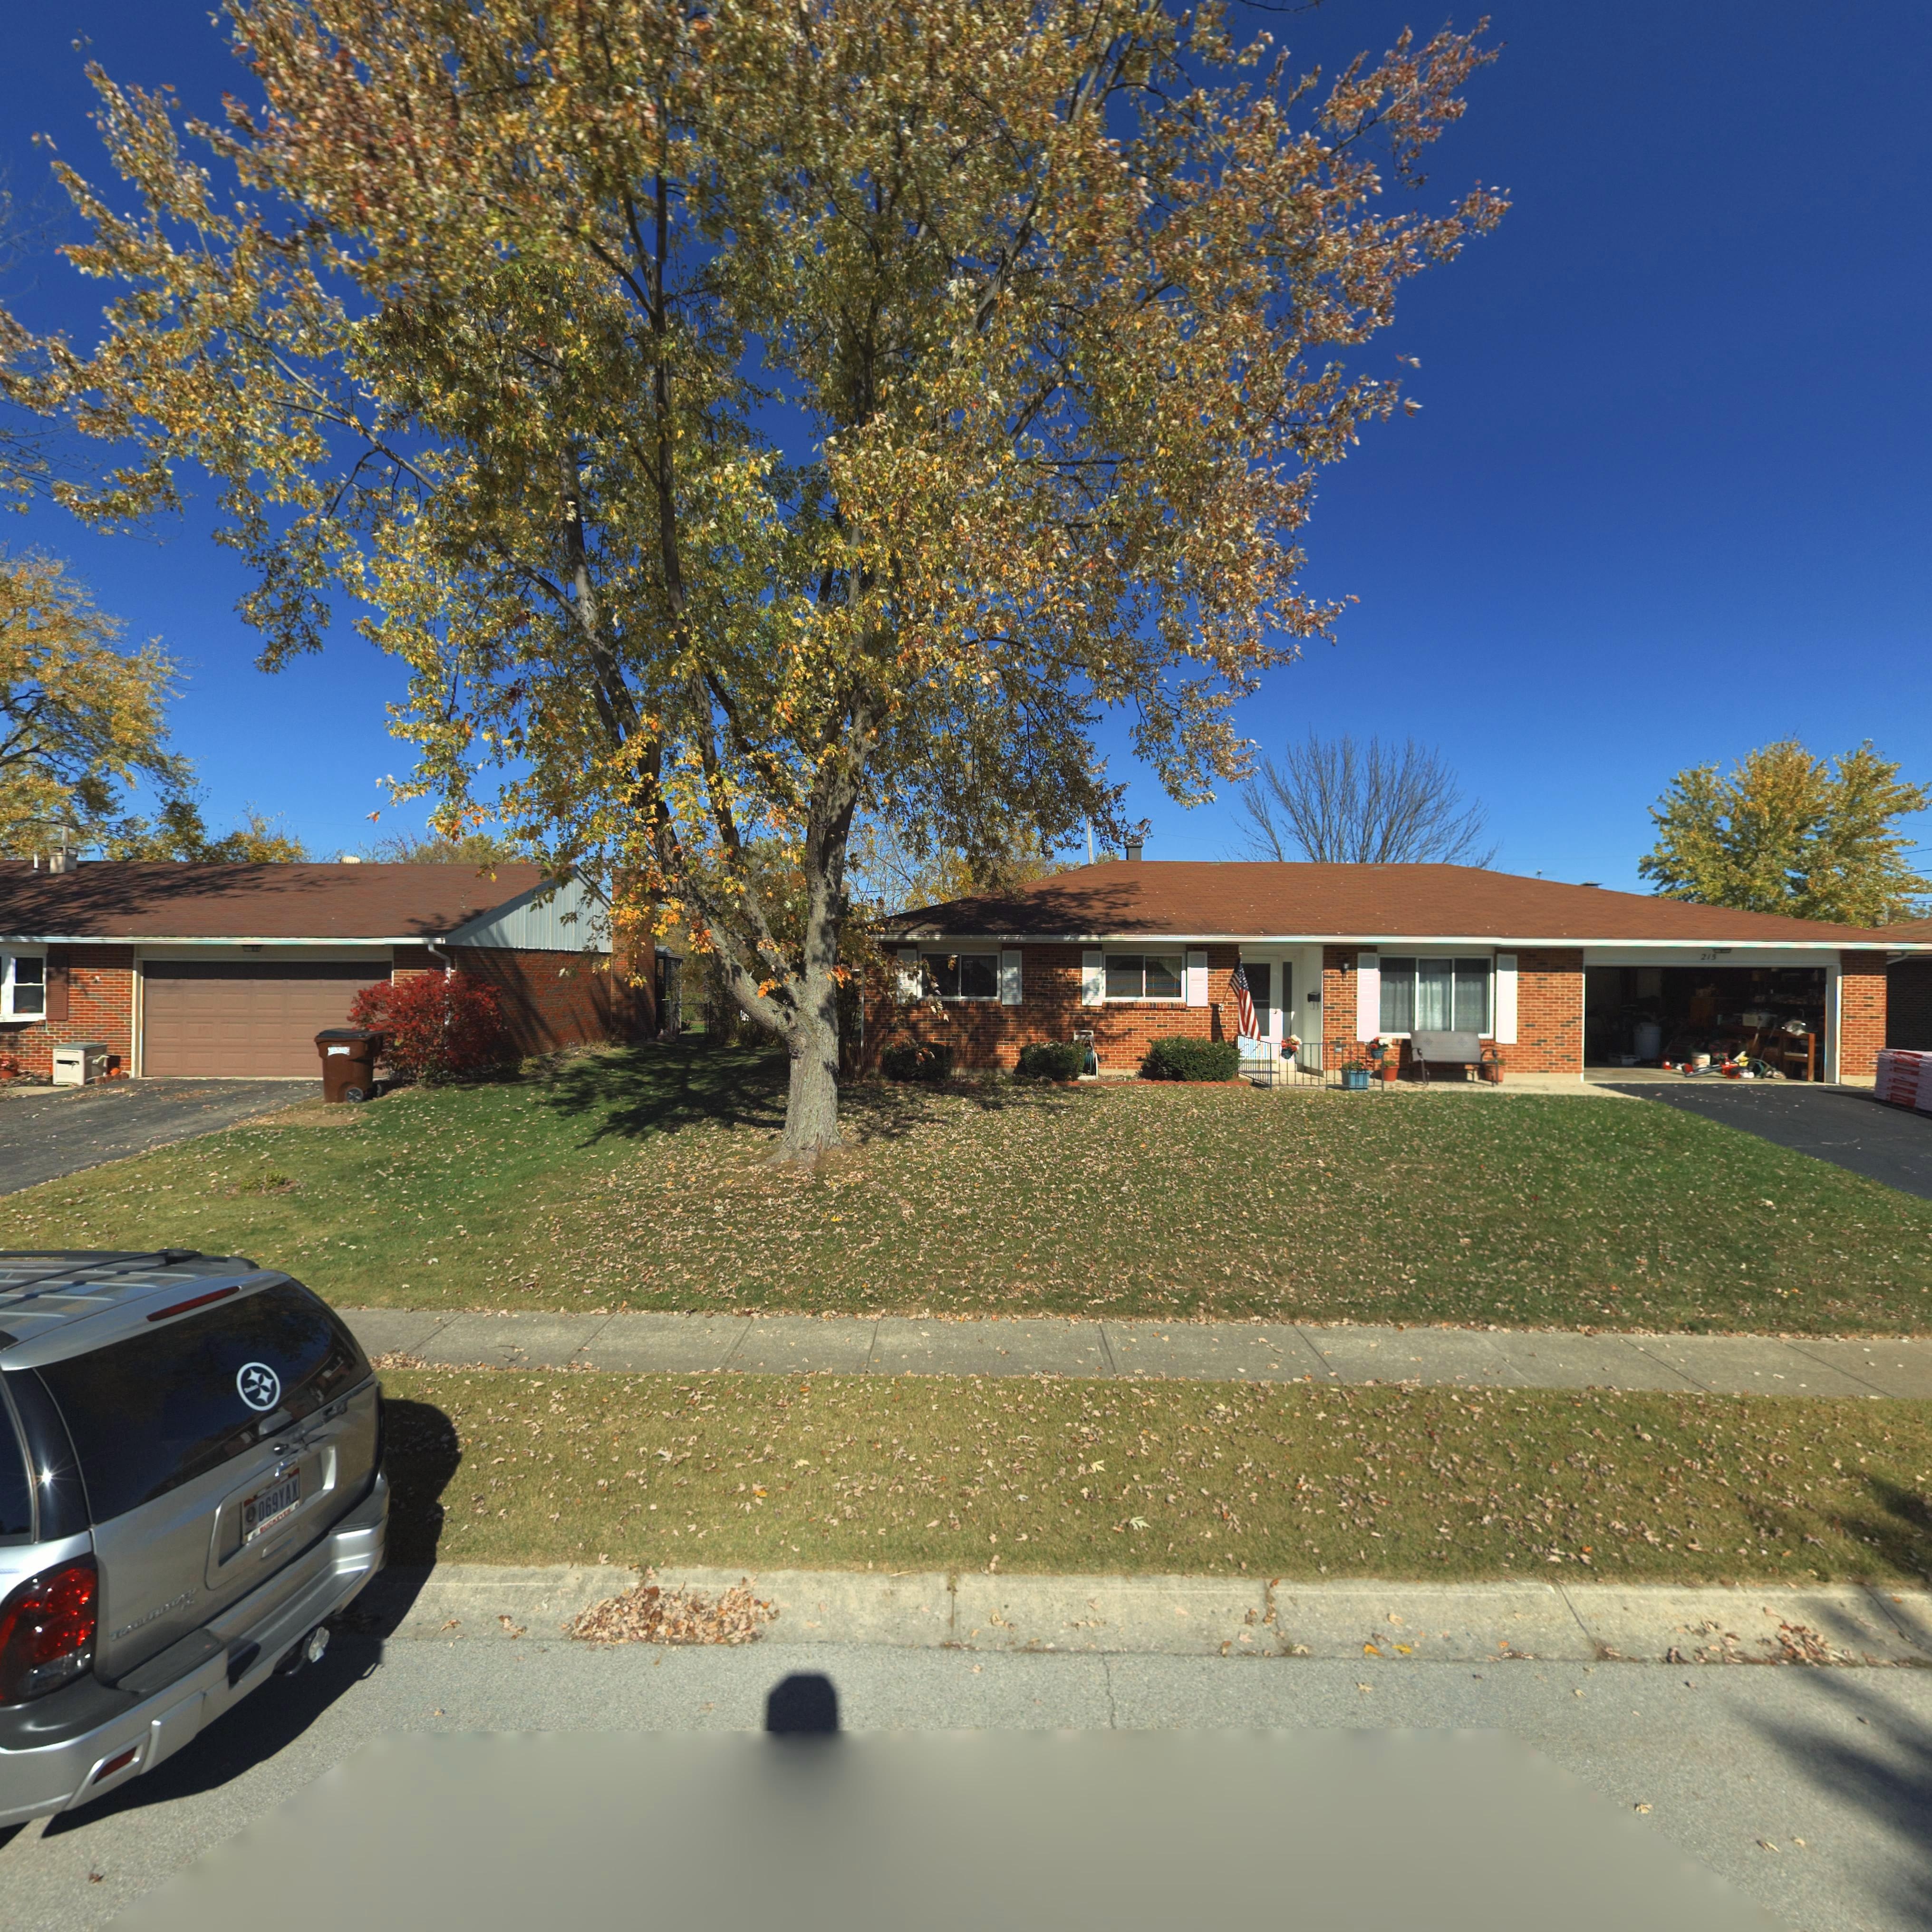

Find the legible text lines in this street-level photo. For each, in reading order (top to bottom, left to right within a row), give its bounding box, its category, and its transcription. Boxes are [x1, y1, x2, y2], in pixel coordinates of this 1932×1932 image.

[1700, 953, 1717, 960] StreetNumber: 215